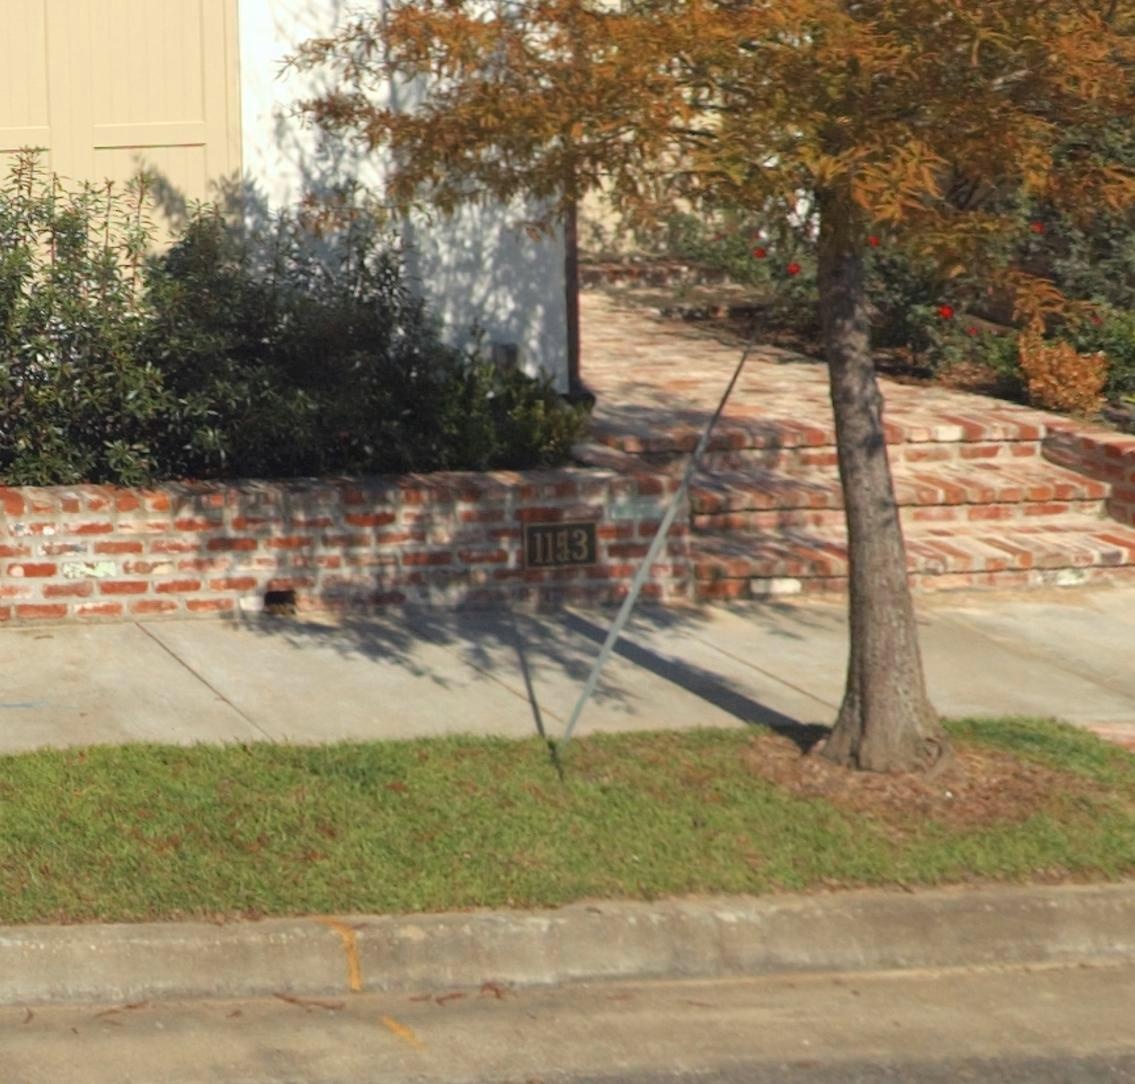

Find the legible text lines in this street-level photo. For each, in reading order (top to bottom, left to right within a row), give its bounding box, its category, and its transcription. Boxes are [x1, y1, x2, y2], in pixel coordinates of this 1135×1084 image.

[532, 527, 590, 565] StreetNumber: 11543